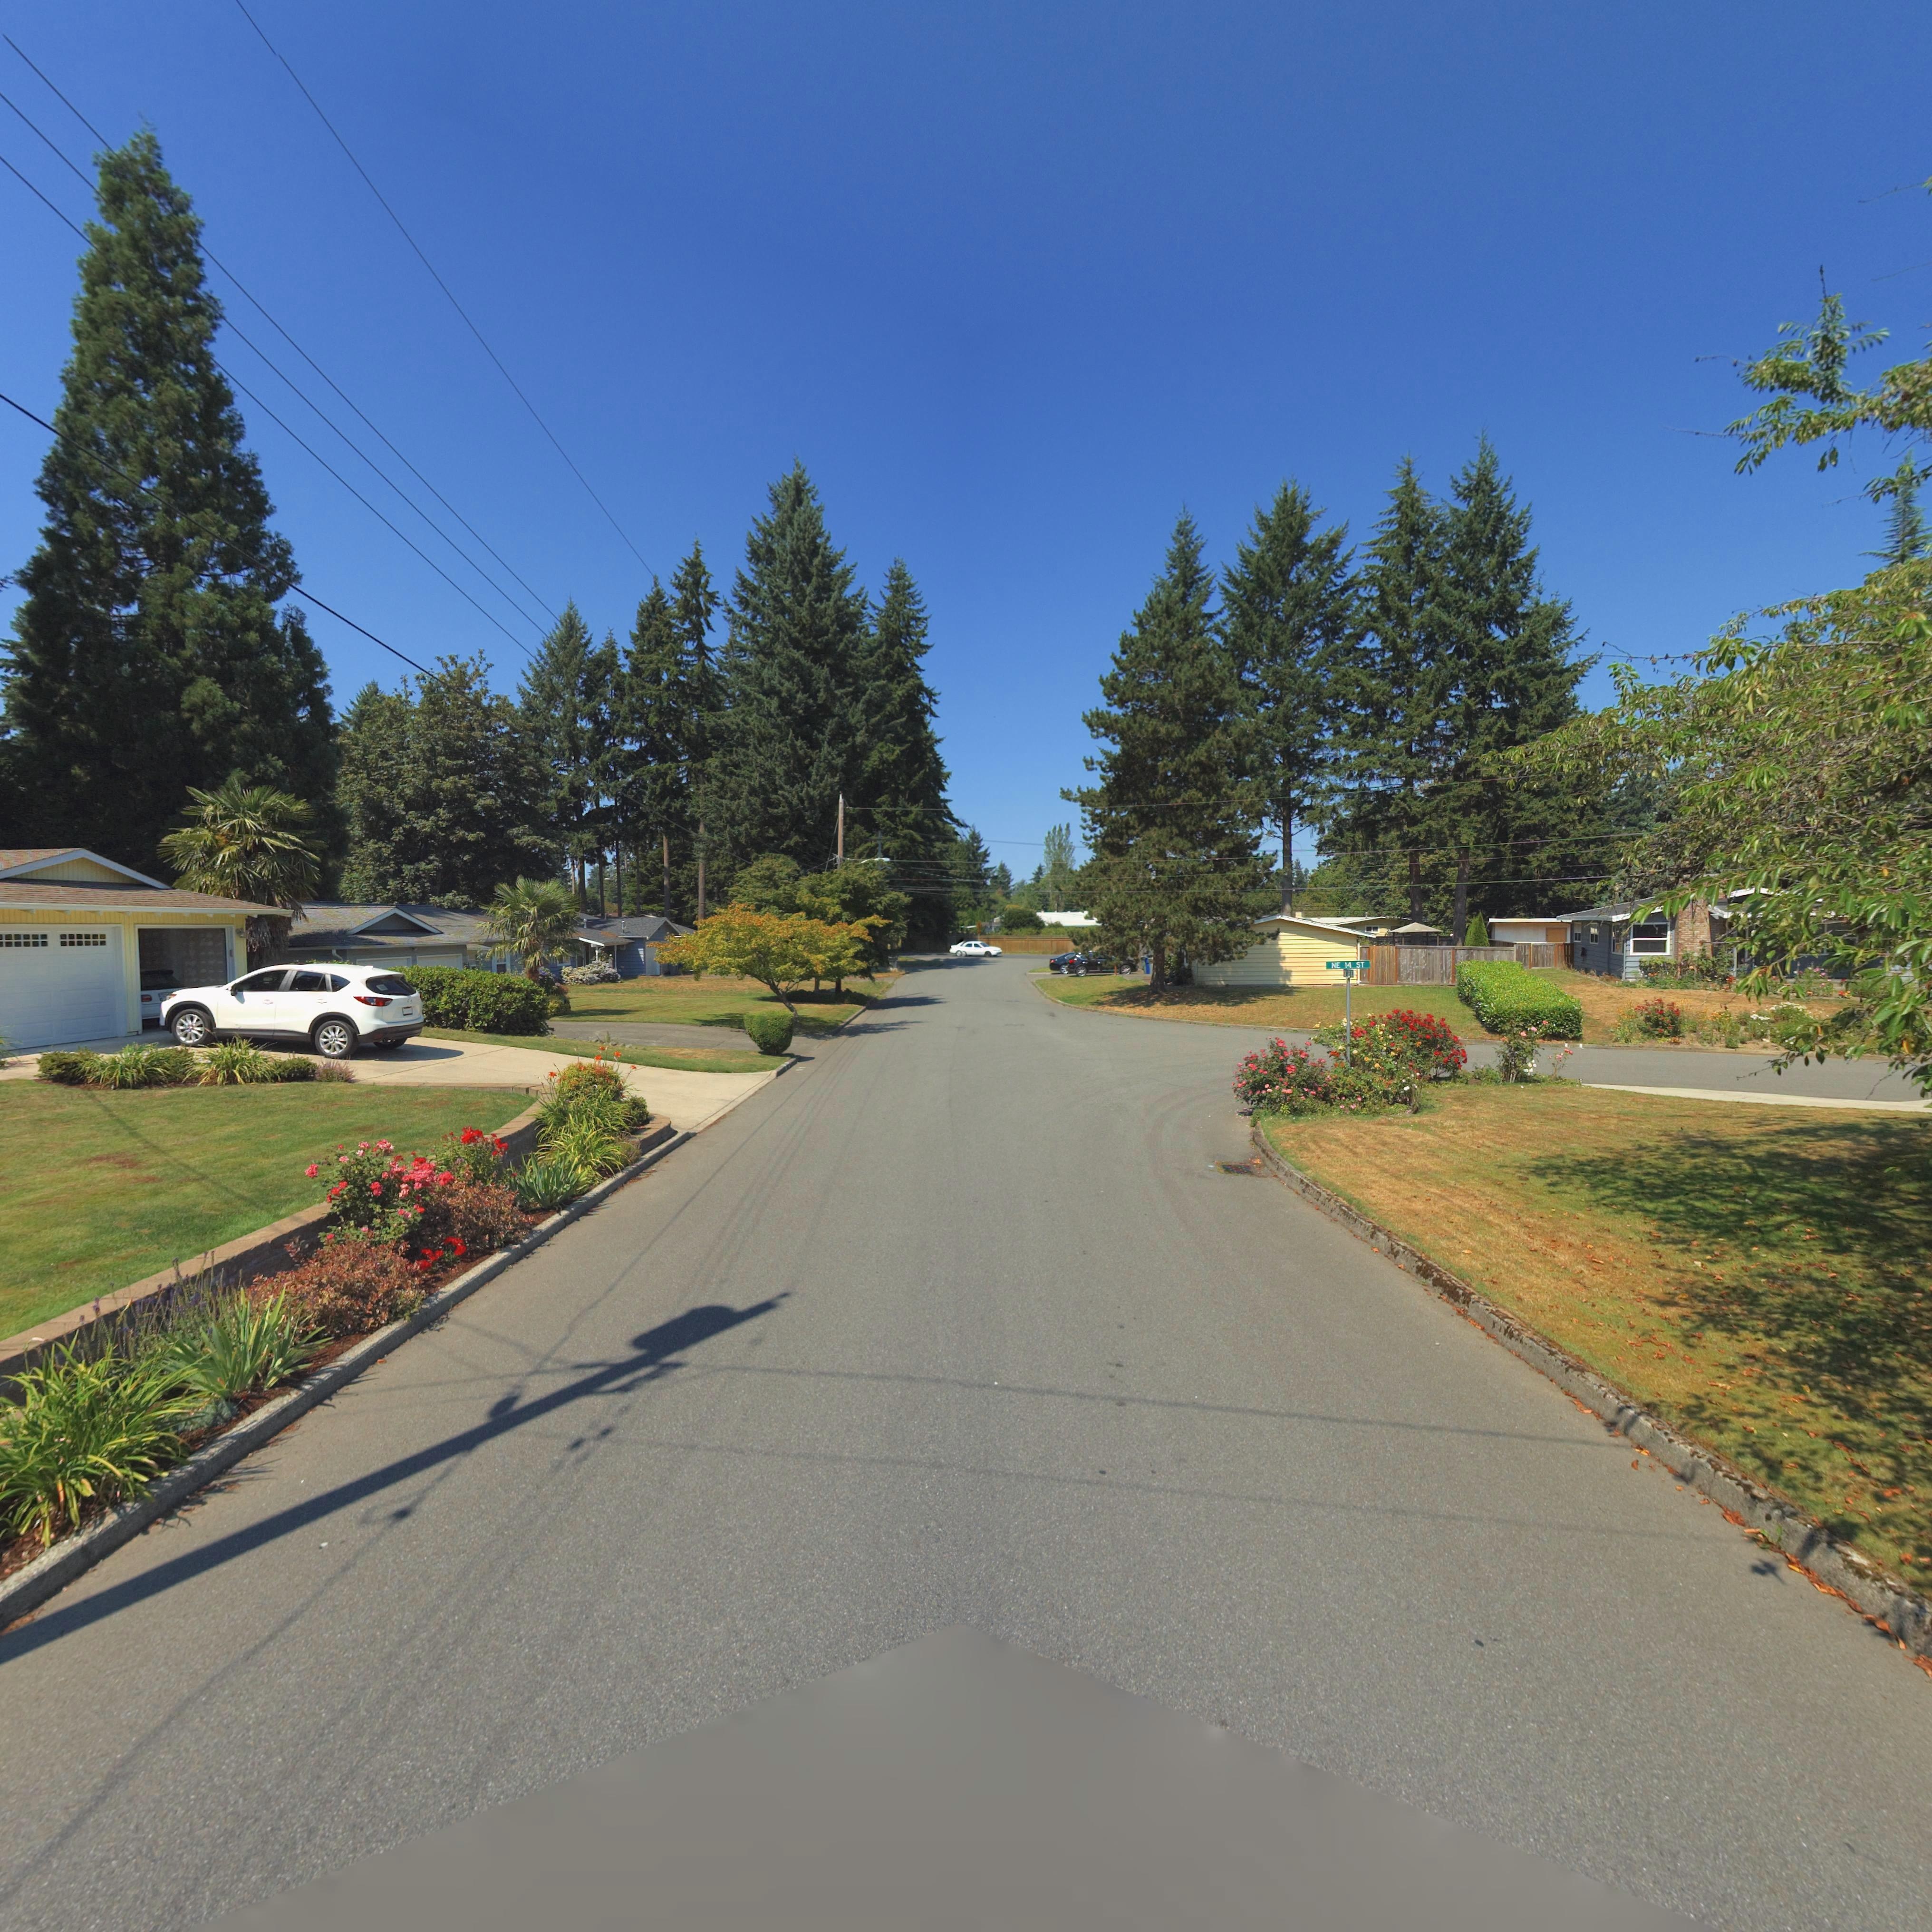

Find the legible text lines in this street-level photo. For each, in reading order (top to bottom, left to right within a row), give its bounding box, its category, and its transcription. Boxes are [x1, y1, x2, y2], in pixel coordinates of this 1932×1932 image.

[1331, 961, 1364, 968] StreetName: NE 14 ST